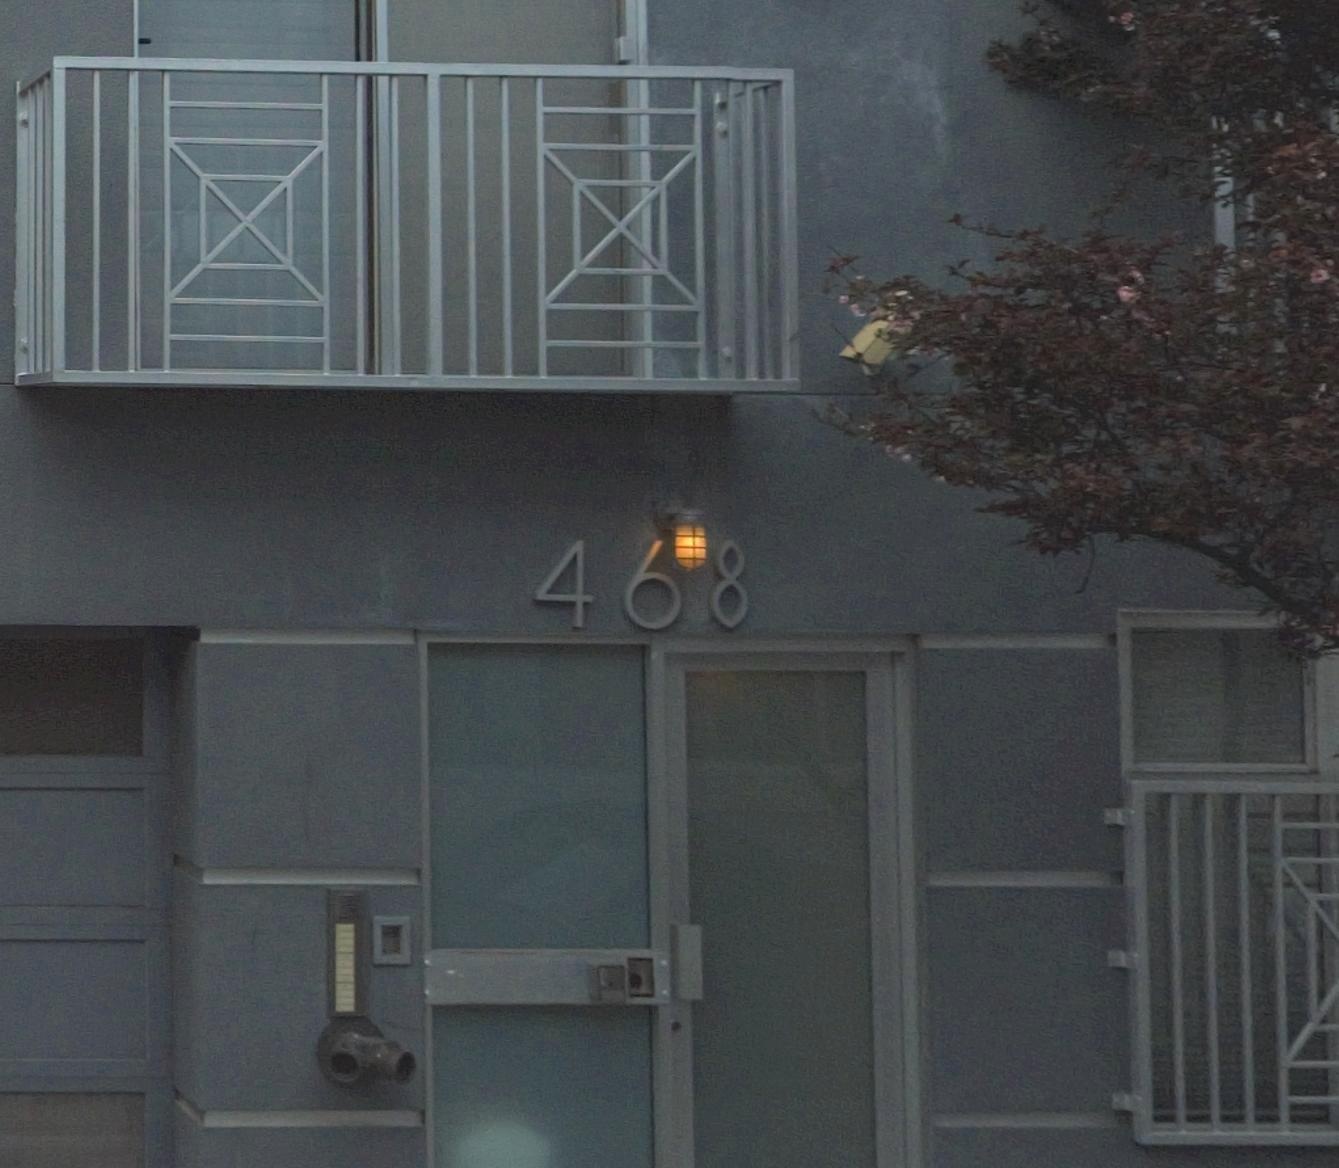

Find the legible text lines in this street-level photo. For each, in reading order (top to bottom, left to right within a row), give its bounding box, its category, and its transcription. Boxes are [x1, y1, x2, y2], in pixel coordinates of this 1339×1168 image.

[525, 536, 752, 633] StreetNumber: 468